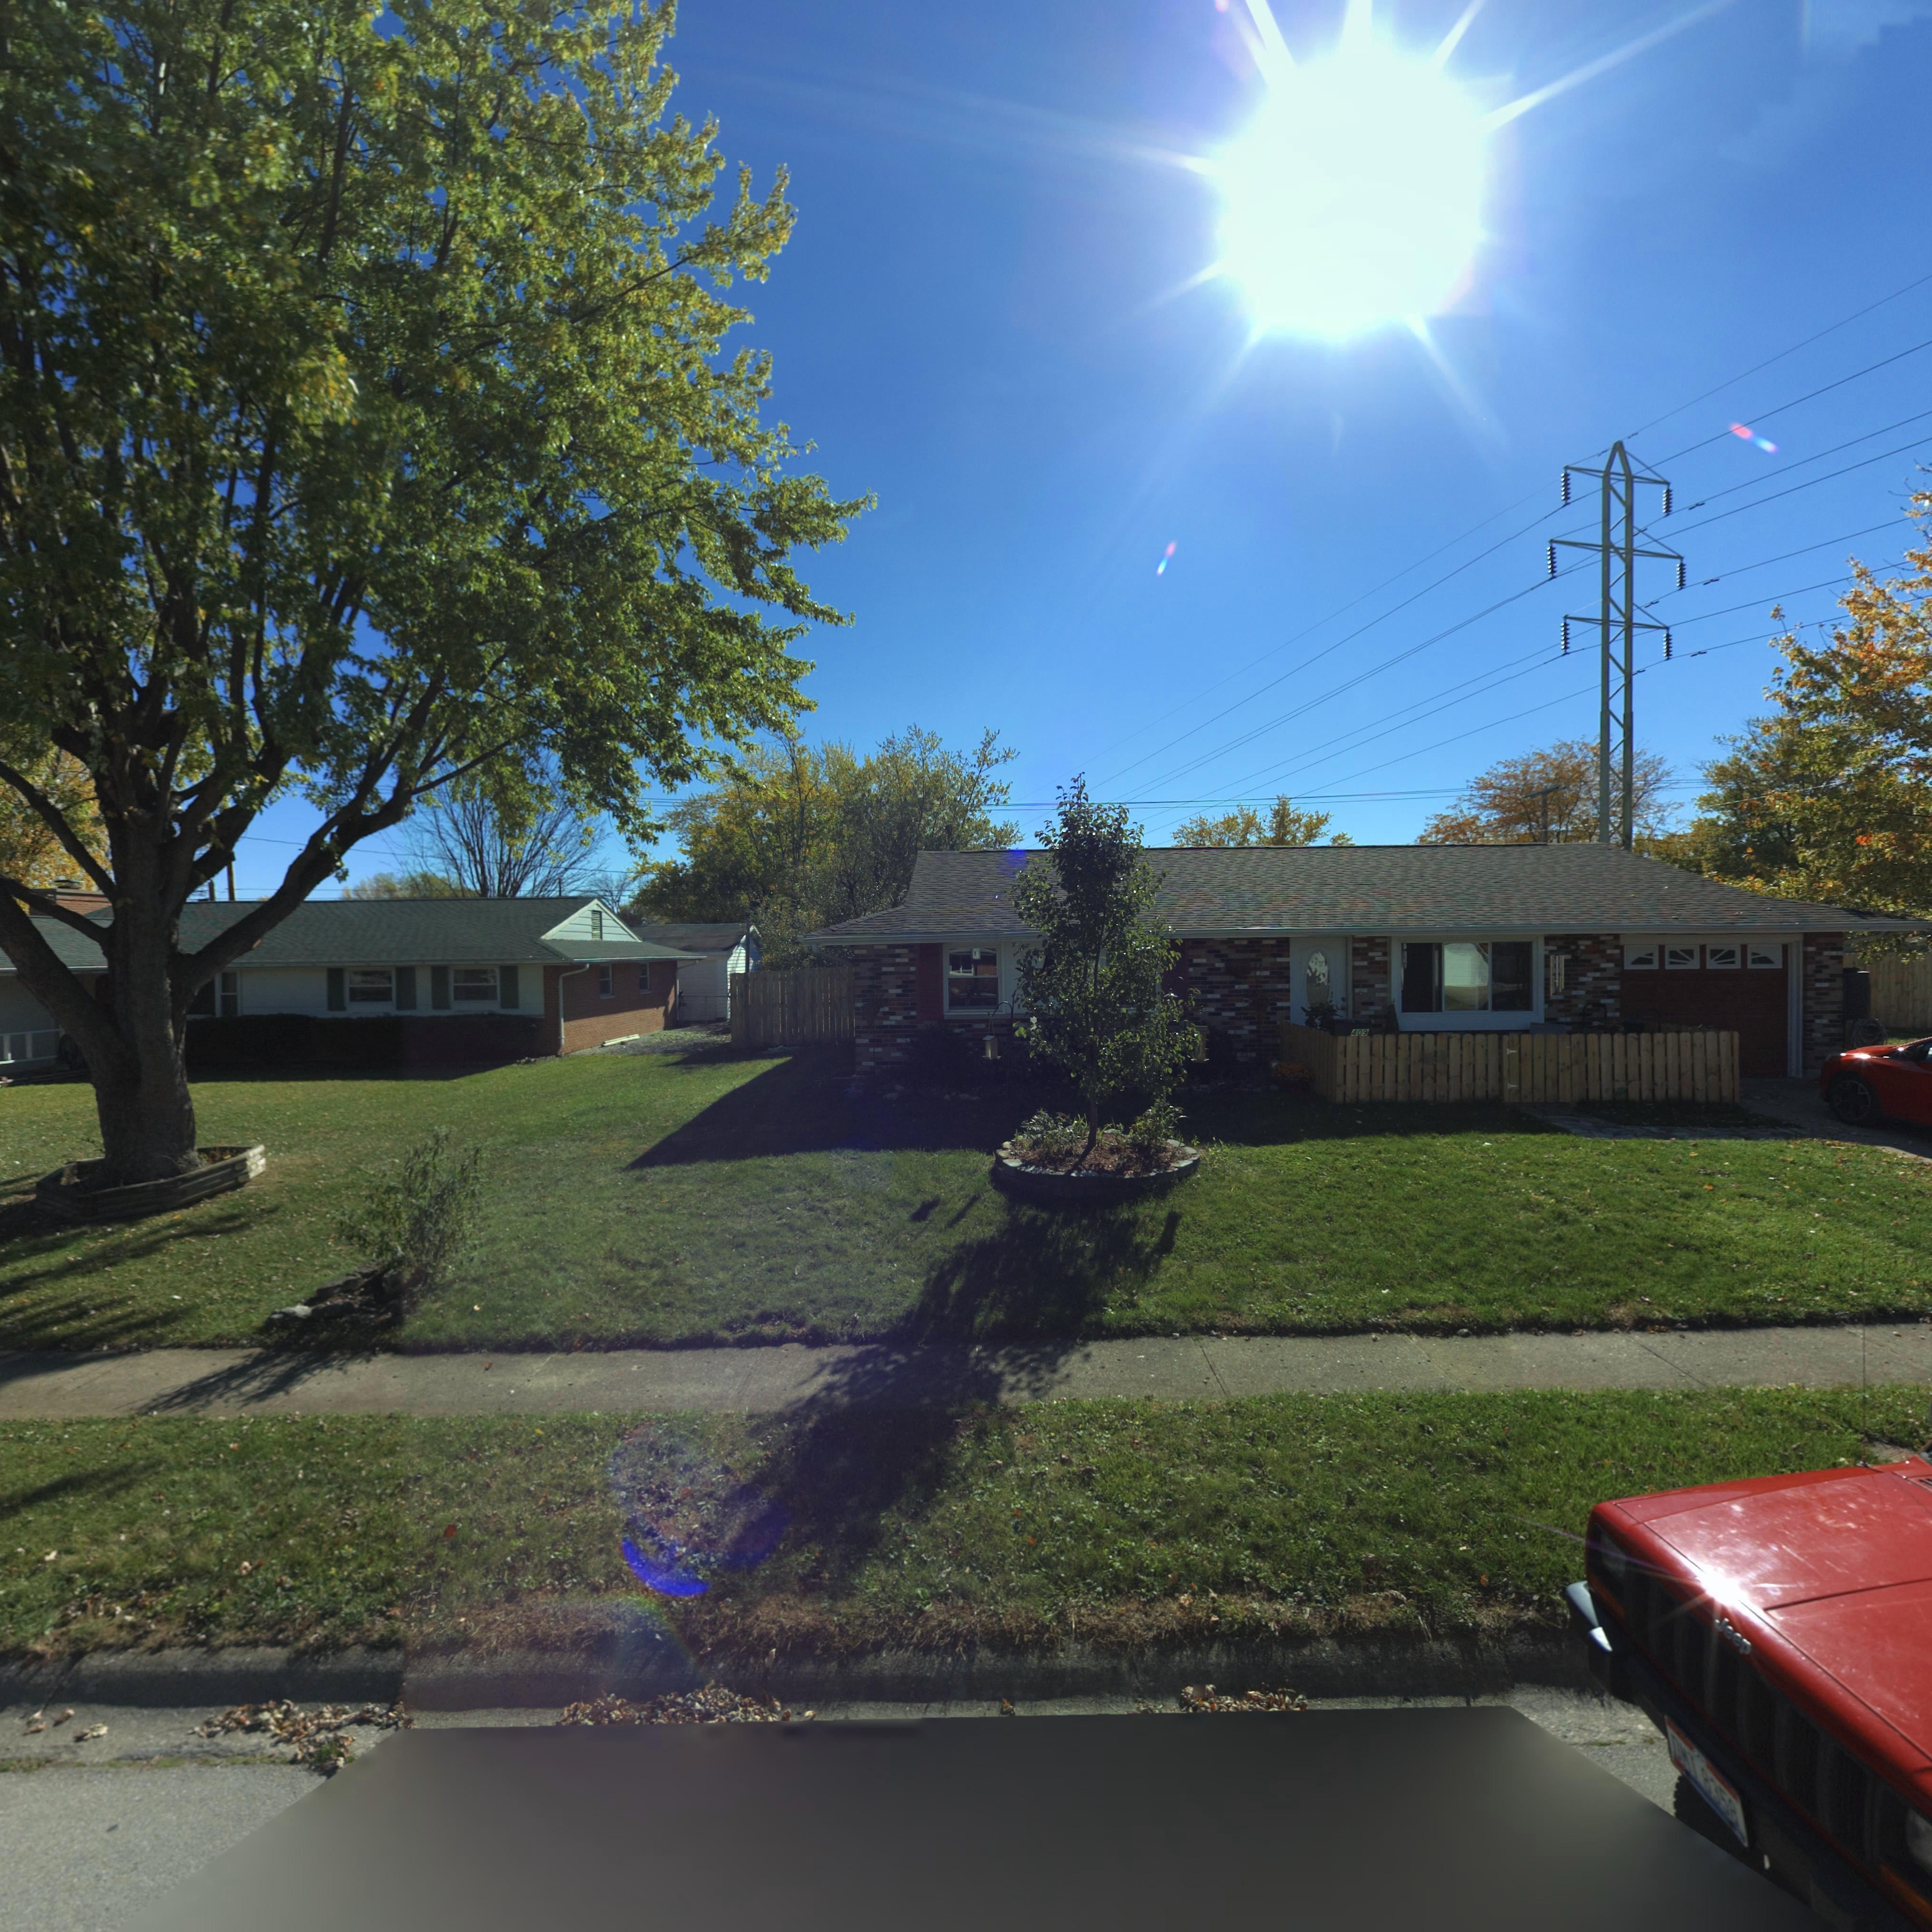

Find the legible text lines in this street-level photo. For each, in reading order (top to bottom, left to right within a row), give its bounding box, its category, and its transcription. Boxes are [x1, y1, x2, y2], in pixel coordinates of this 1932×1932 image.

[1350, 1029, 1369, 1036] StreetNumber: 409